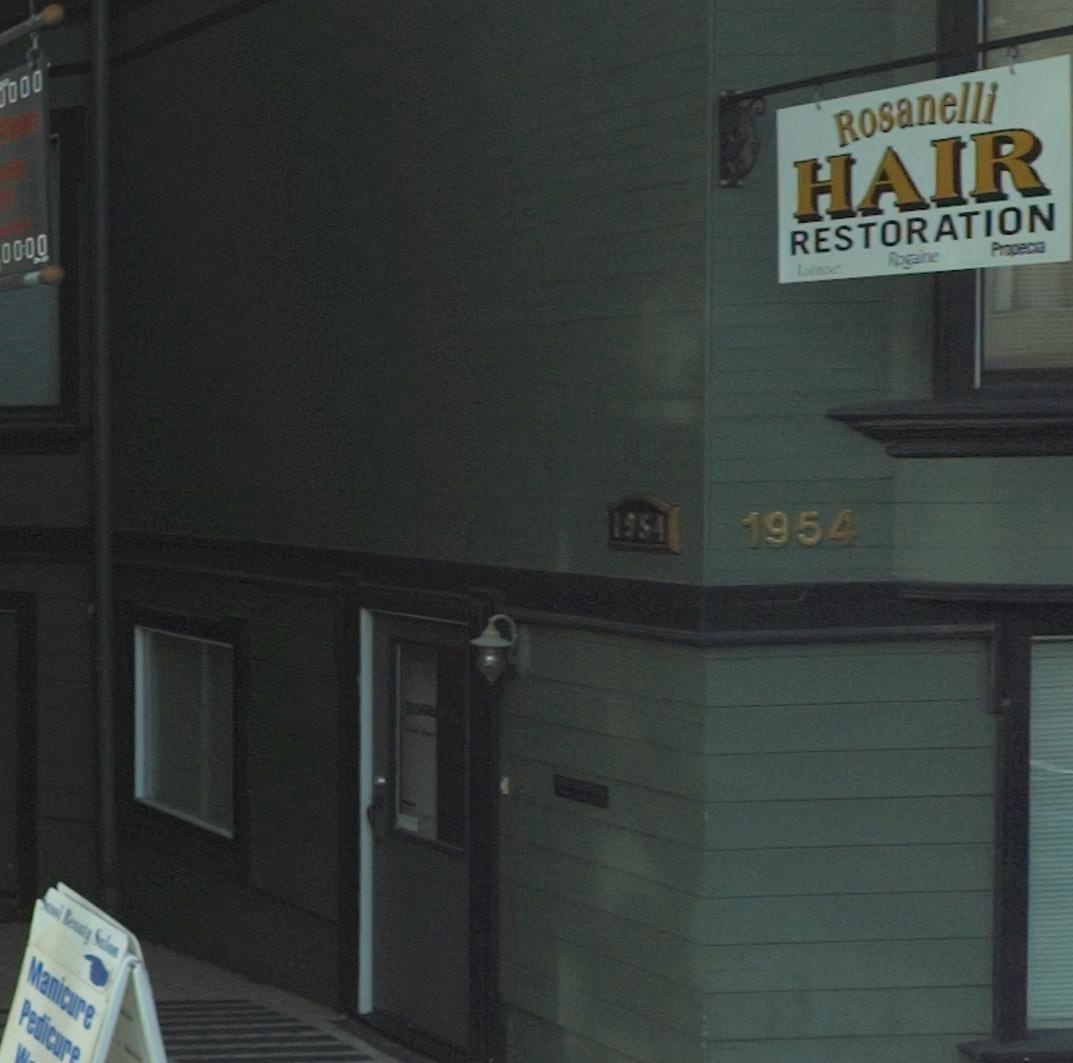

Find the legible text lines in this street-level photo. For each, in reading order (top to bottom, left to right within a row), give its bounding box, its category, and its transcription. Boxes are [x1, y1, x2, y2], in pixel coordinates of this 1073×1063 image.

[5, 65, 46, 109] None: 000
[825, 76, 1004, 152] BusinessName: Rosanelli
[788, 121, 1057, 228] BusinessName: HAIR
[0, 229, 50, 268] None: 0000
[786, 196, 1060, 261] BusinessName: RESTORATION
[609, 505, 668, 546] StreetNumber: 1954
[737, 504, 863, 553] StreetNumber: 1954
[20, 949, 99, 1035] None: Manicure
[14, 994, 77, 1062] None: Pedicur